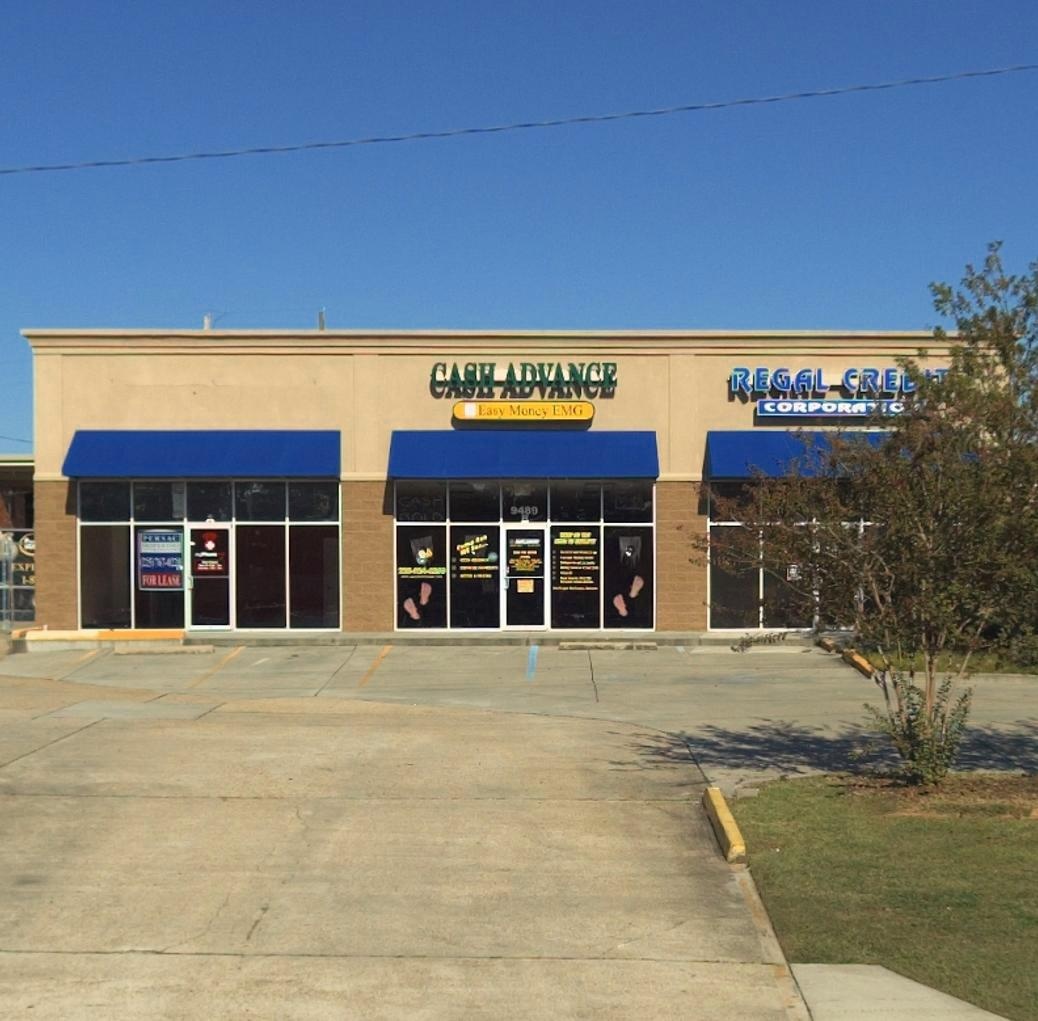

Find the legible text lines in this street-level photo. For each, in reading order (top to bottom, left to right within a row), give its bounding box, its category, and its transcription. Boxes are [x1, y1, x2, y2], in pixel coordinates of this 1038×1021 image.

[430, 362, 618, 389] None: CASH ADVANCE
[731, 365, 899, 393] BusinessName: REGAL CRE
[478, 403, 583, 420] None: Easy Money EMG
[762, 401, 906, 414] None: CORPORA**O
[509, 505, 539, 516] StreetNumber: 9489
[141, 574, 181, 587] None: FOR LEASE